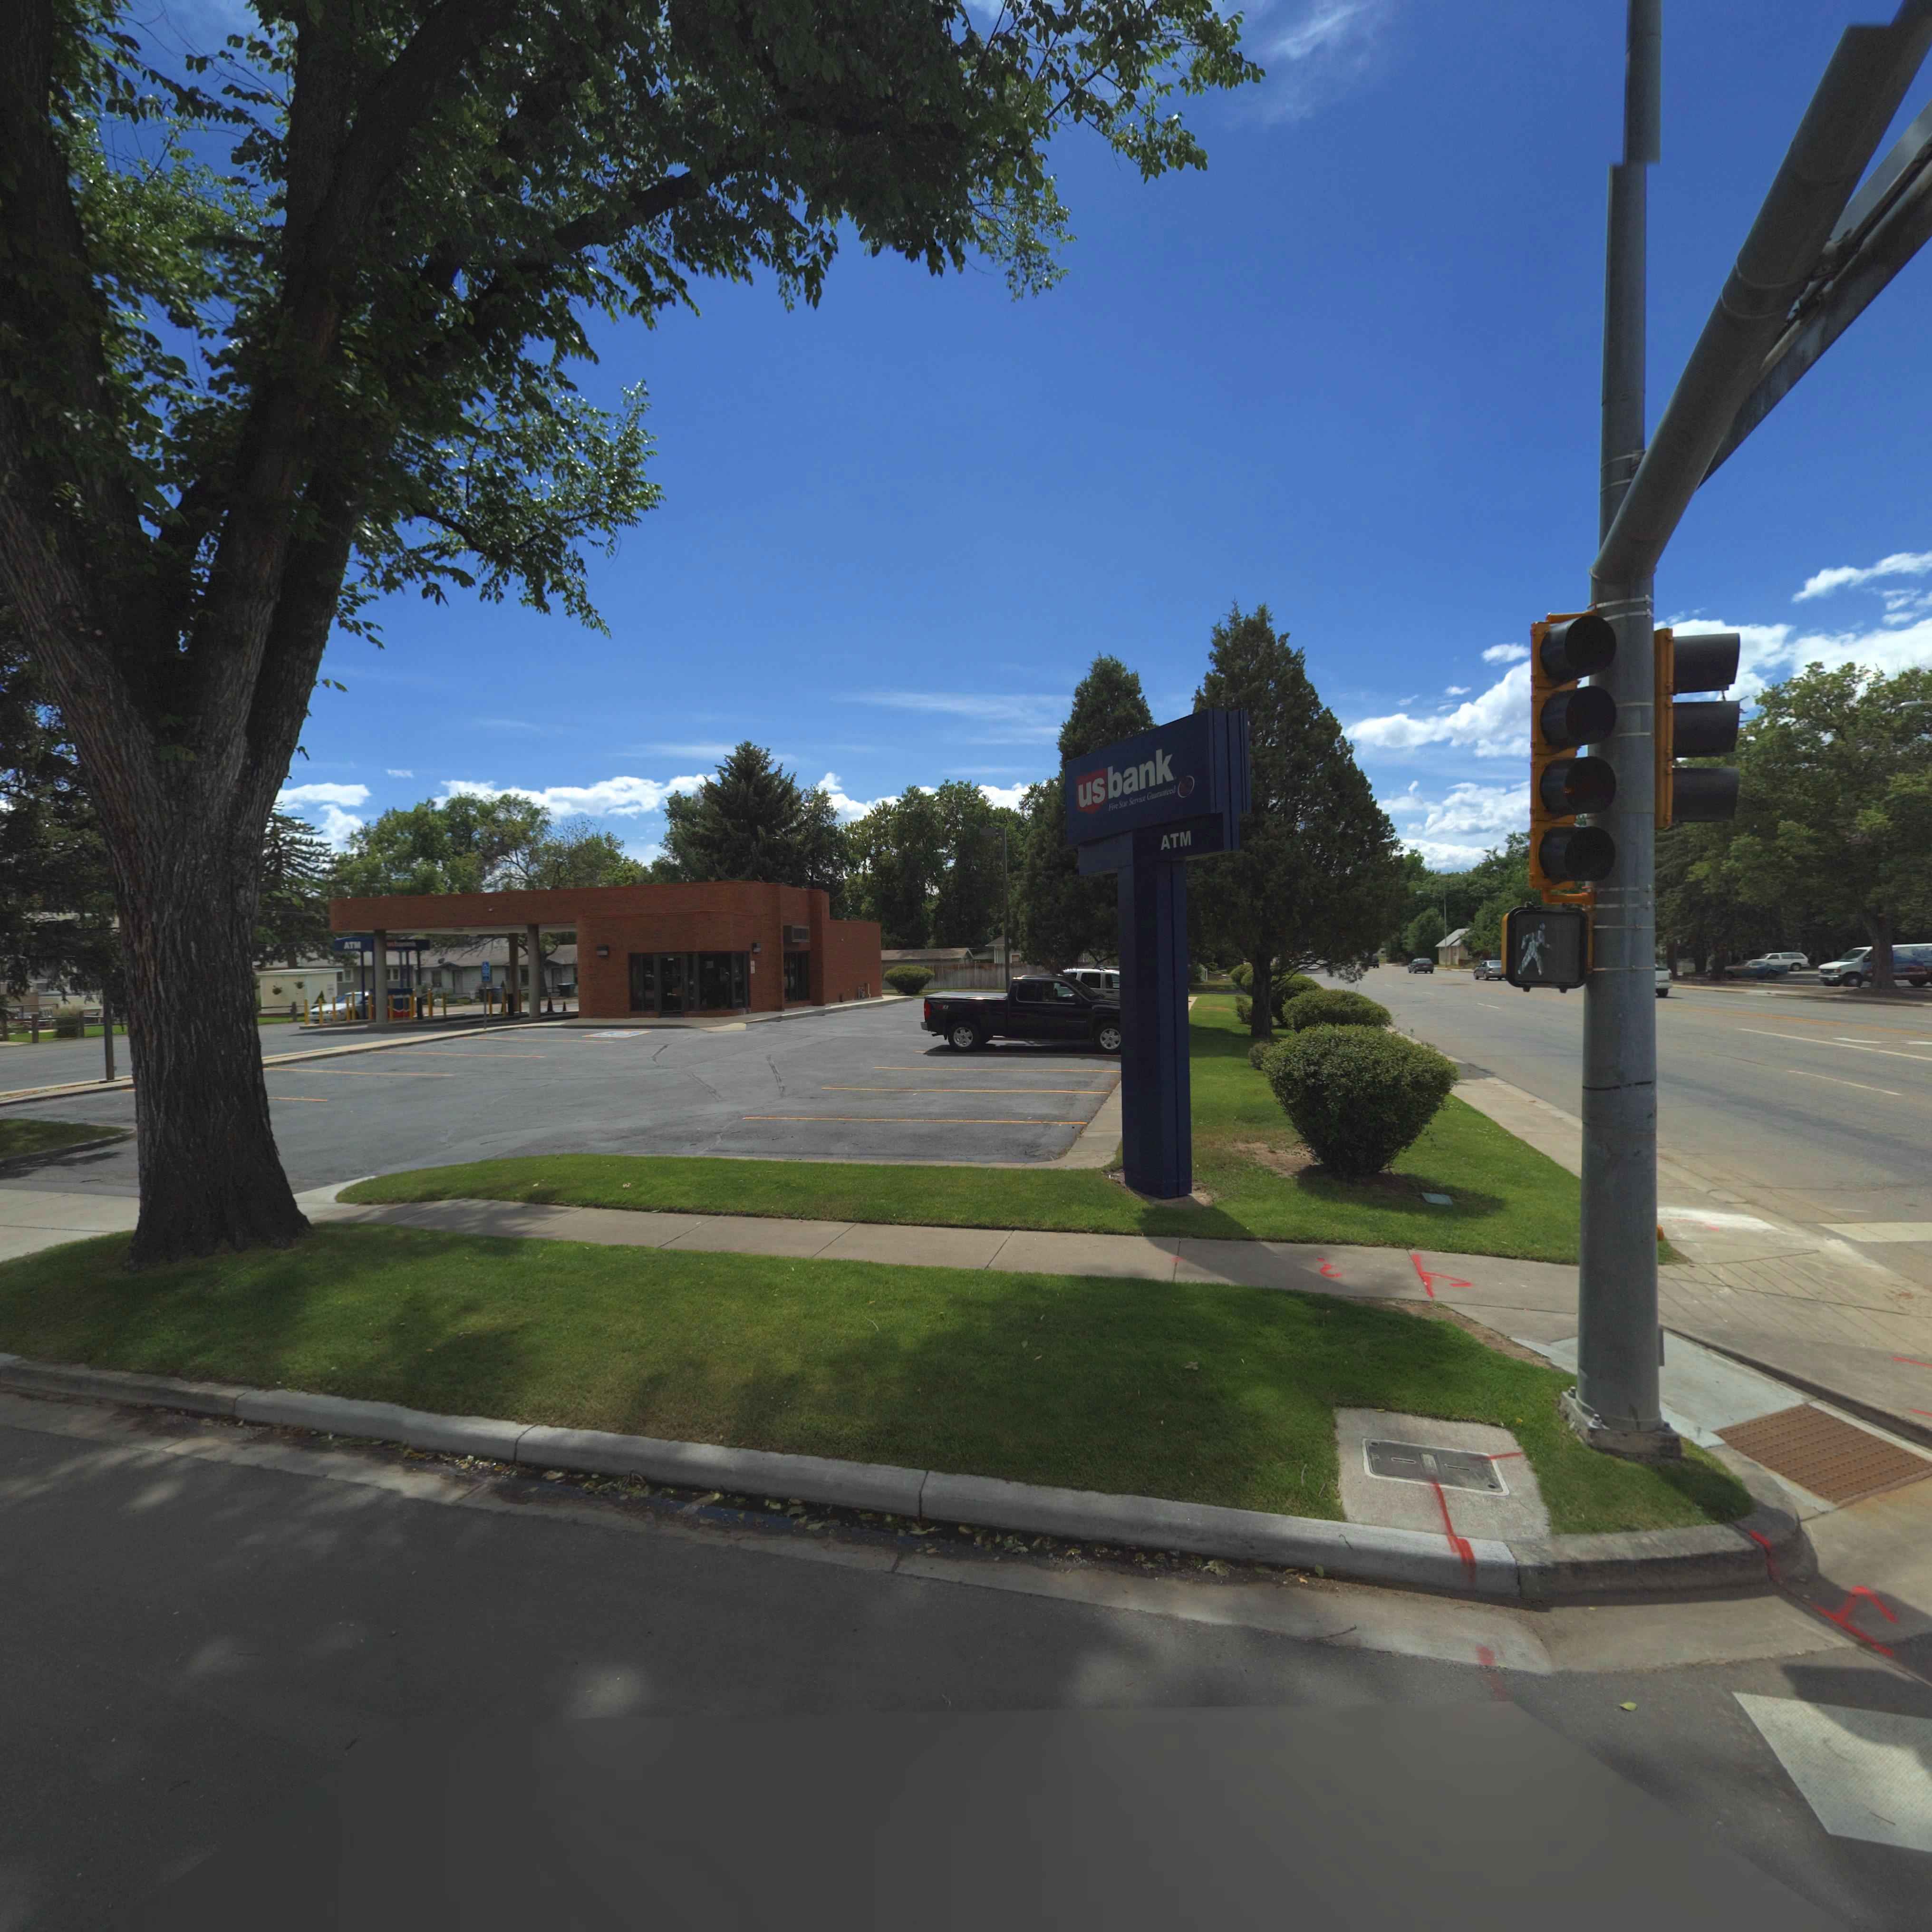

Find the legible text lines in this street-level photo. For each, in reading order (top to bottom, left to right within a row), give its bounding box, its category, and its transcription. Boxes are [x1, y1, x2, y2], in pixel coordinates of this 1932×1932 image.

[1078, 749, 1174, 808] BusinessName: usbank
[387, 941, 416, 946] BusinessName: usb**k